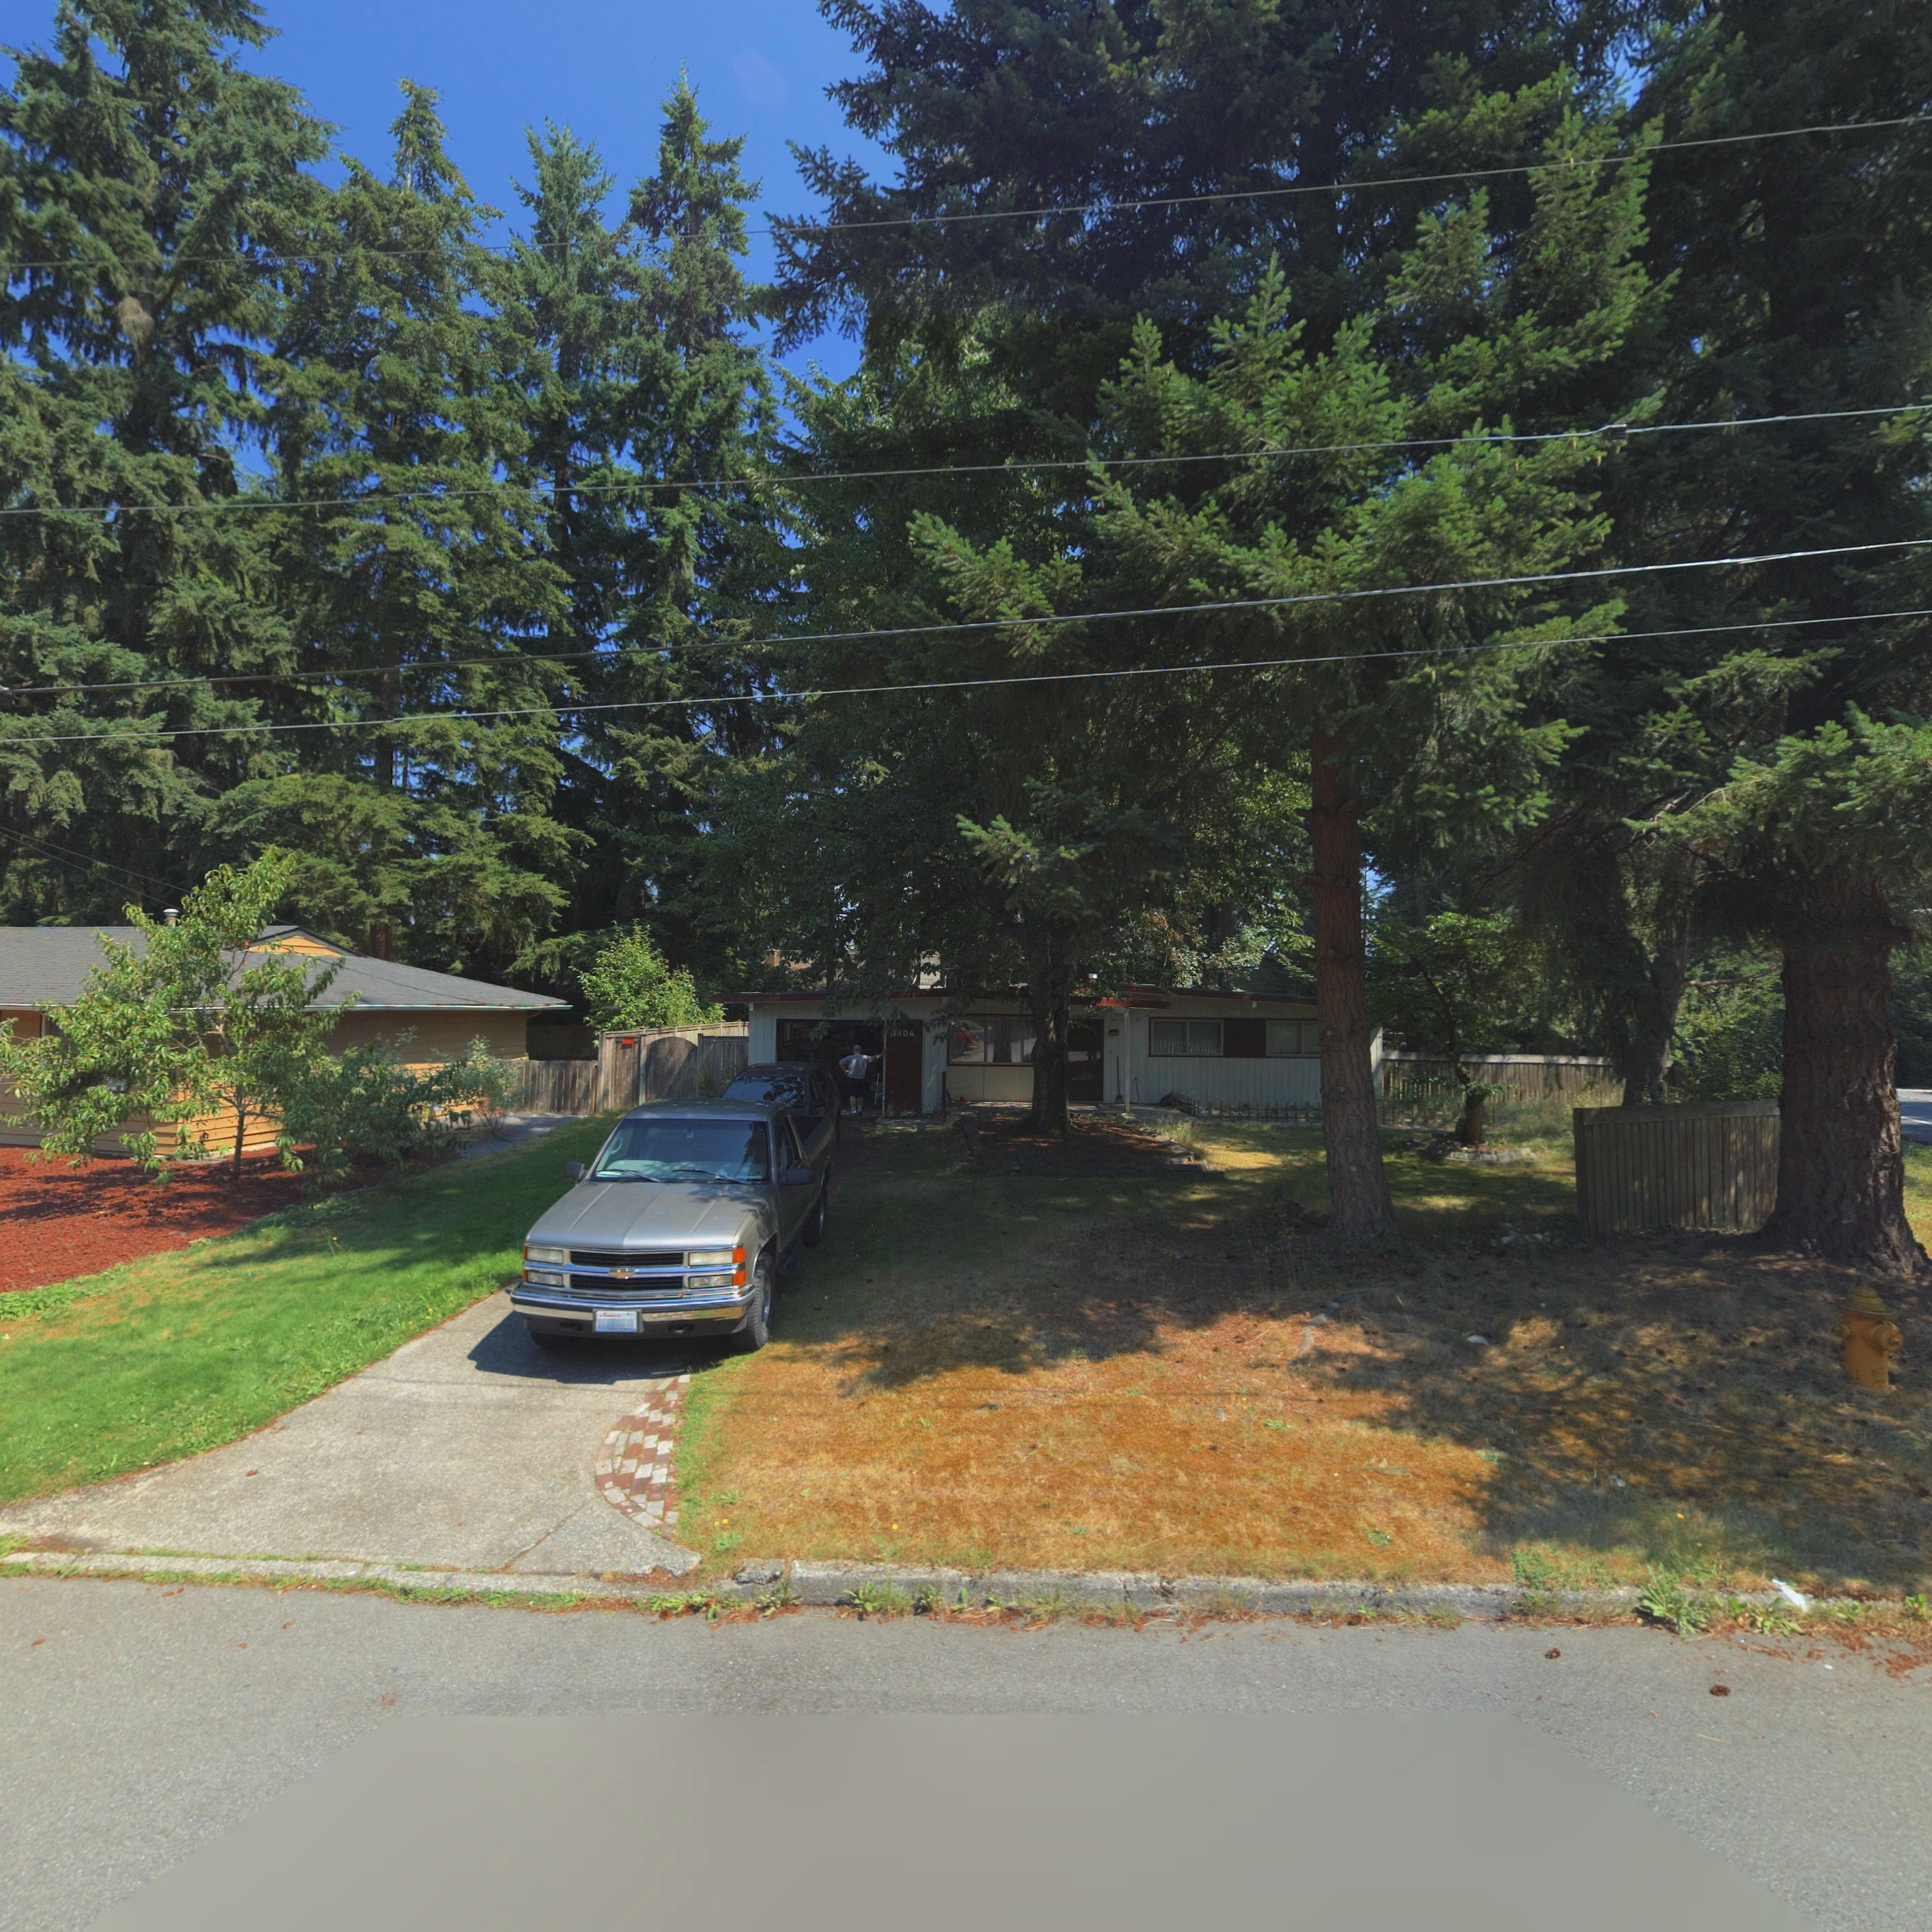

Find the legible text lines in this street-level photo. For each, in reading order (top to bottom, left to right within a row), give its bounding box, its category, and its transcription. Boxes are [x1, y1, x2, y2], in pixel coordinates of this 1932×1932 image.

[892, 1029, 914, 1036] StreetNumber: 1*04